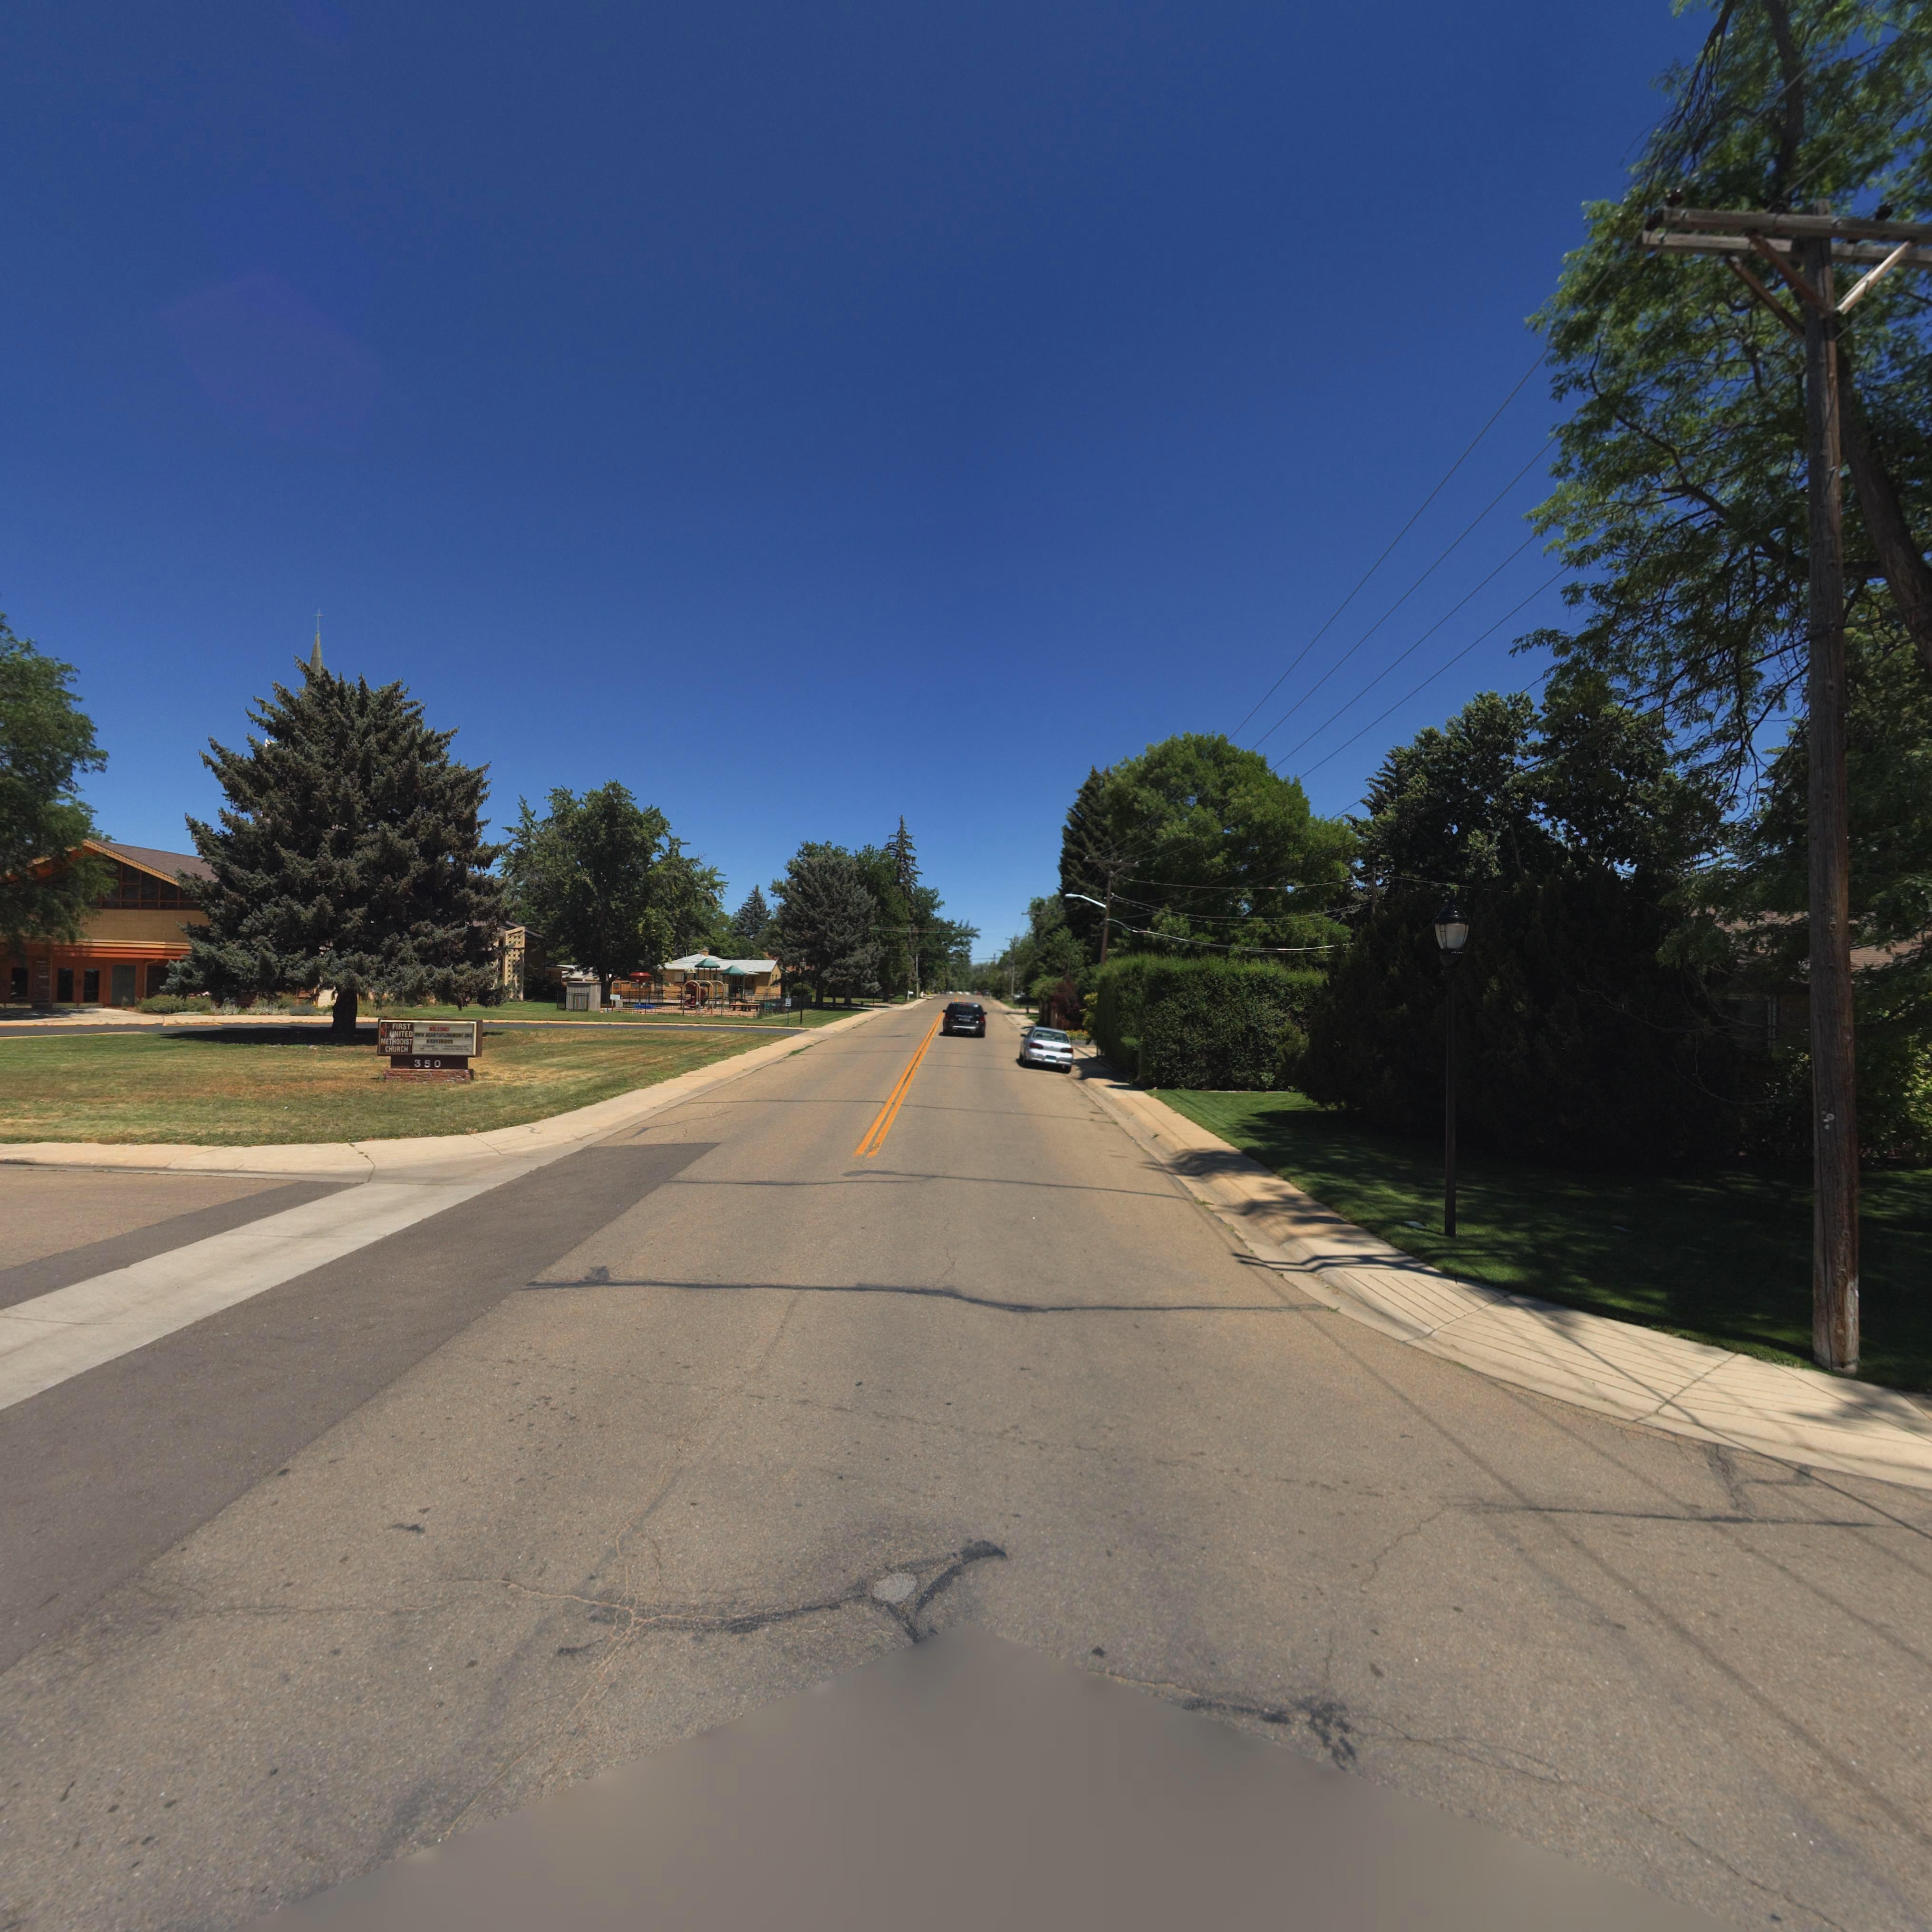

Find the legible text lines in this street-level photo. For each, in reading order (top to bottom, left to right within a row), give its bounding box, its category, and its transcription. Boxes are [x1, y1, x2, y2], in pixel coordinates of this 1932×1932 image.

[392, 1023, 410, 1030] BusinessName: FIRST
[389, 1030, 413, 1037] BusinessName: UNITED
[380, 1038, 412, 1045] BusinessName: METHODIST
[385, 1045, 408, 1053] BusinessName: CHURCH
[414, 1059, 441, 1068] StreetNumber: 350